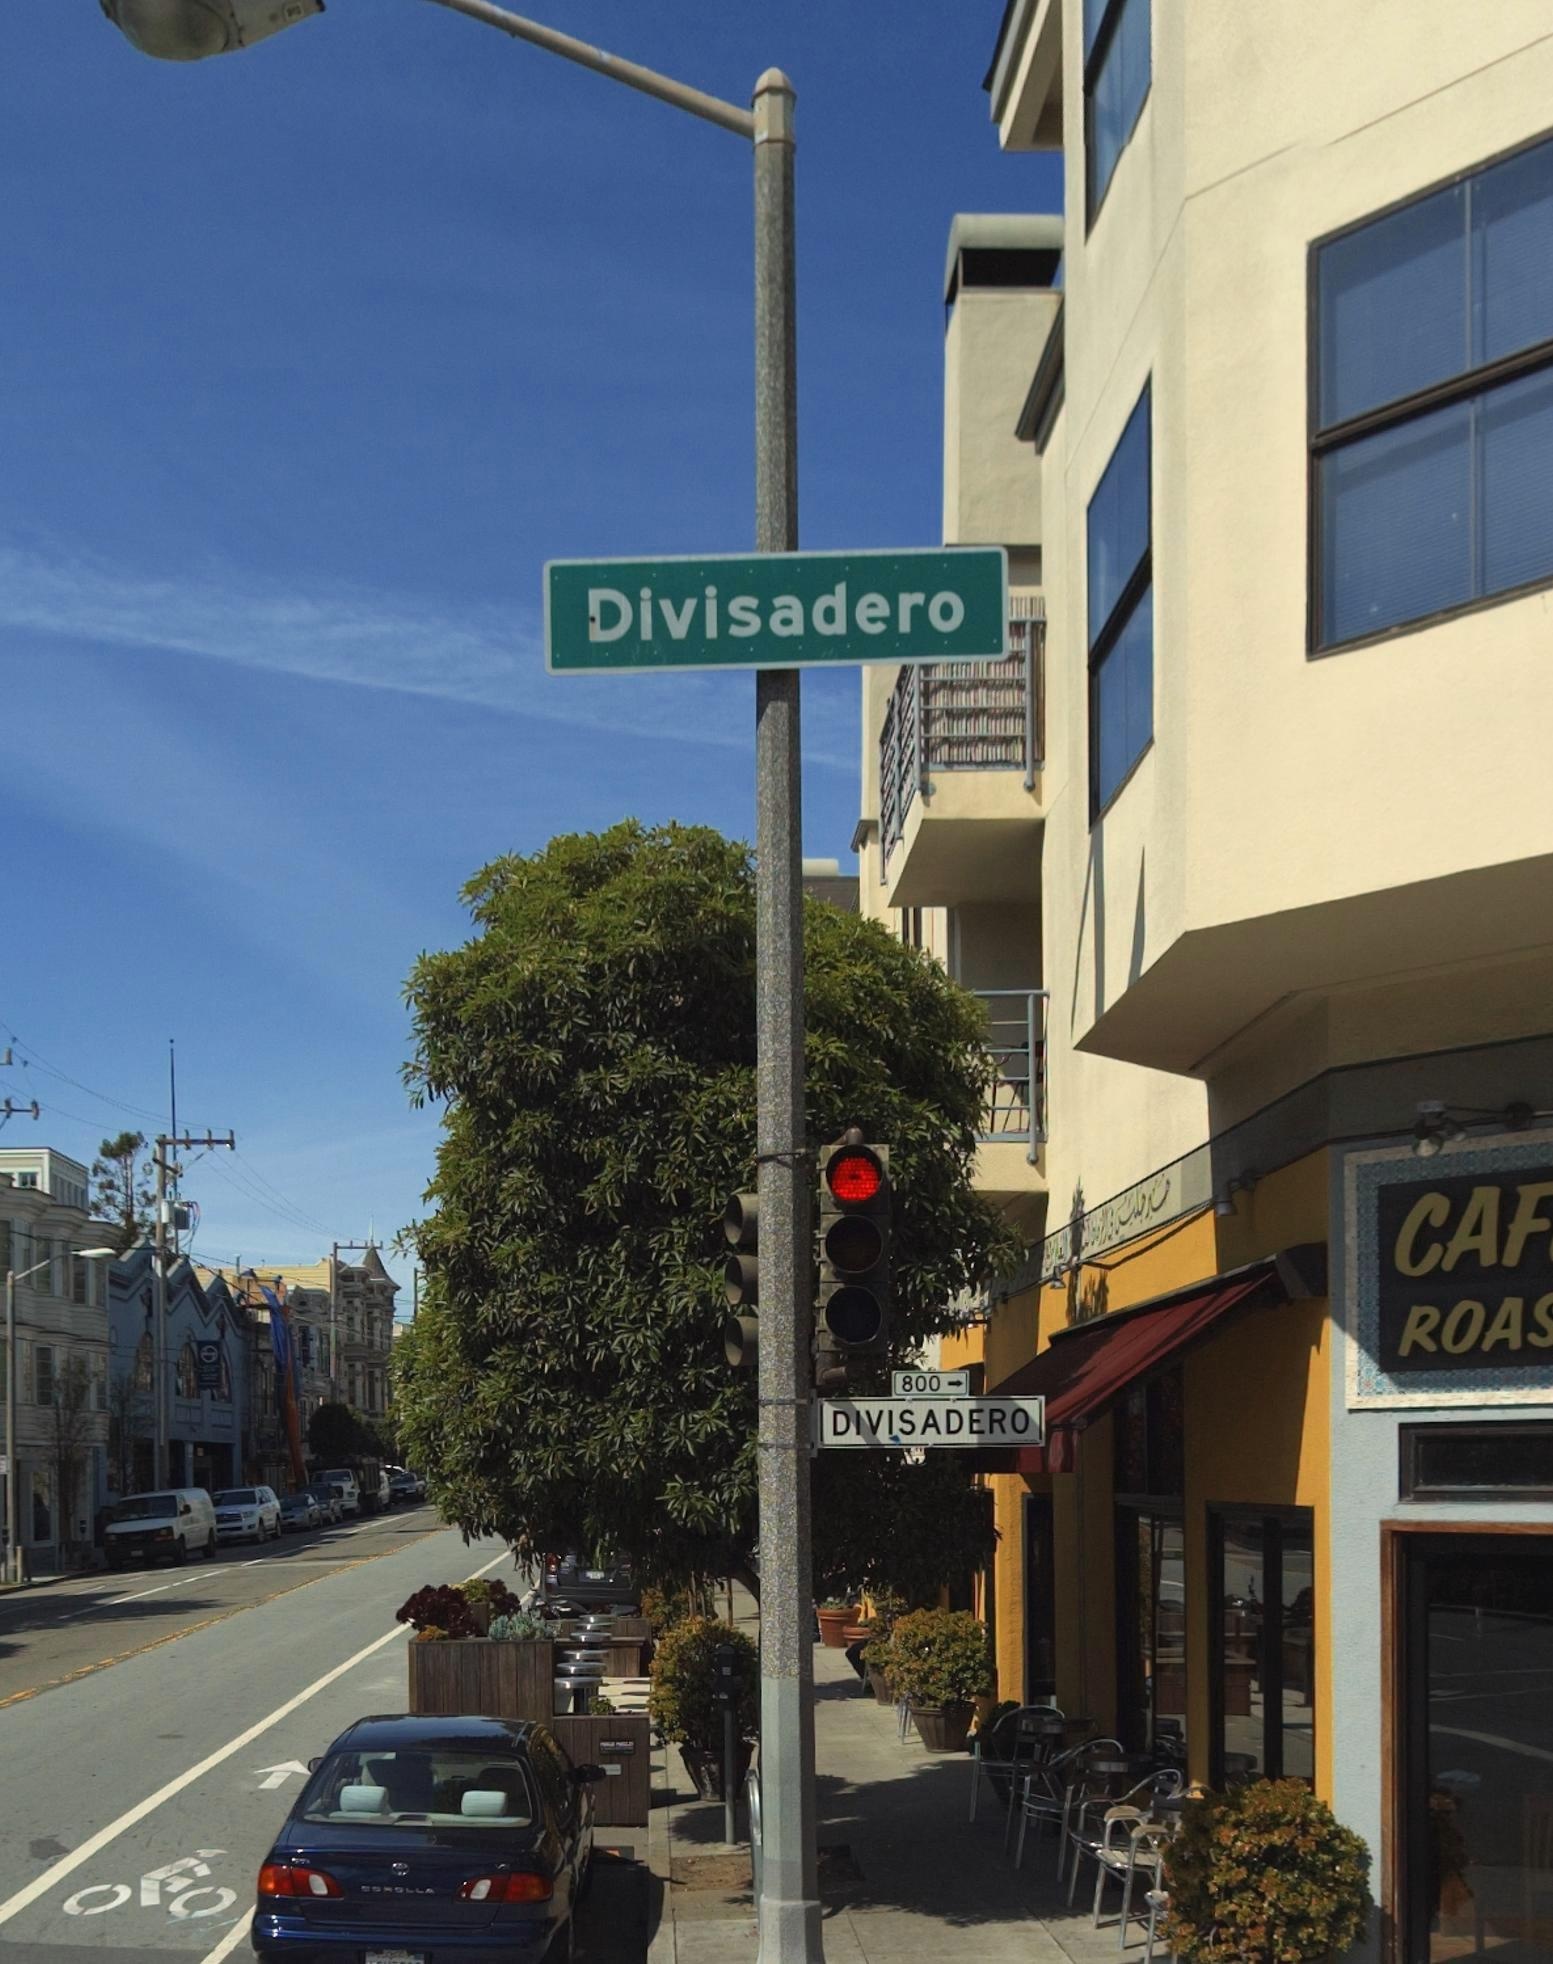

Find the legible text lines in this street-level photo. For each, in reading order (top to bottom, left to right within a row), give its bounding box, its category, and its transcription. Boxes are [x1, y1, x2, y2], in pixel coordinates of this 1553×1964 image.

[585, 578, 970, 646] StreetName: Divisadero
[1392, 1183, 1553, 1281] BusinessName: CAF
[1396, 1291, 1552, 1362] BusinessName: ROAS
[897, 1369, 968, 1395] StreetNumberRange: 800->
[827, 1406, 1035, 1438] StreetName: DIVISADERO
[355, 1881, 439, 1899] None: COROLLA